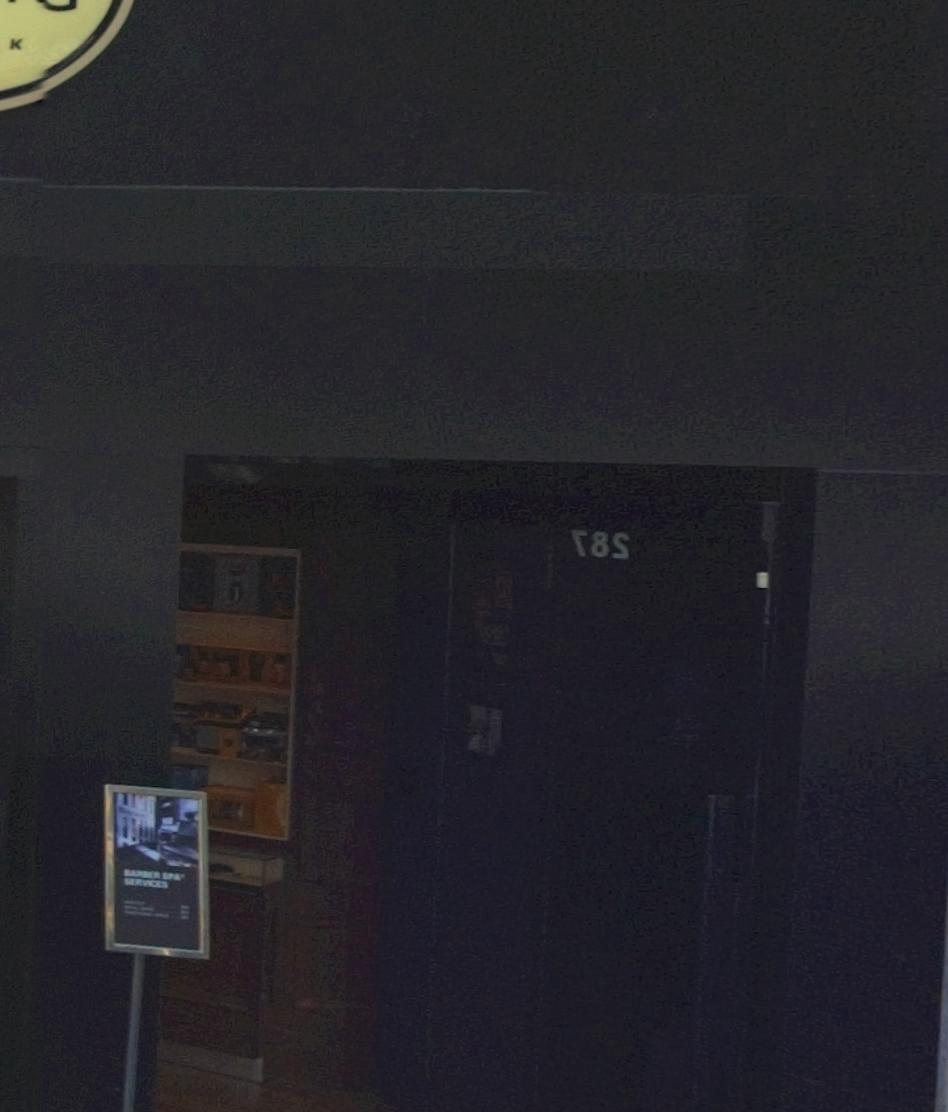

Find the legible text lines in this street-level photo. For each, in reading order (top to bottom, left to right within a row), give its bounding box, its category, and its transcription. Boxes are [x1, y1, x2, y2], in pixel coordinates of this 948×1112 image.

[7, 35, 25, 52] None: K
[568, 525, 633, 563] StreetNumber: *8*